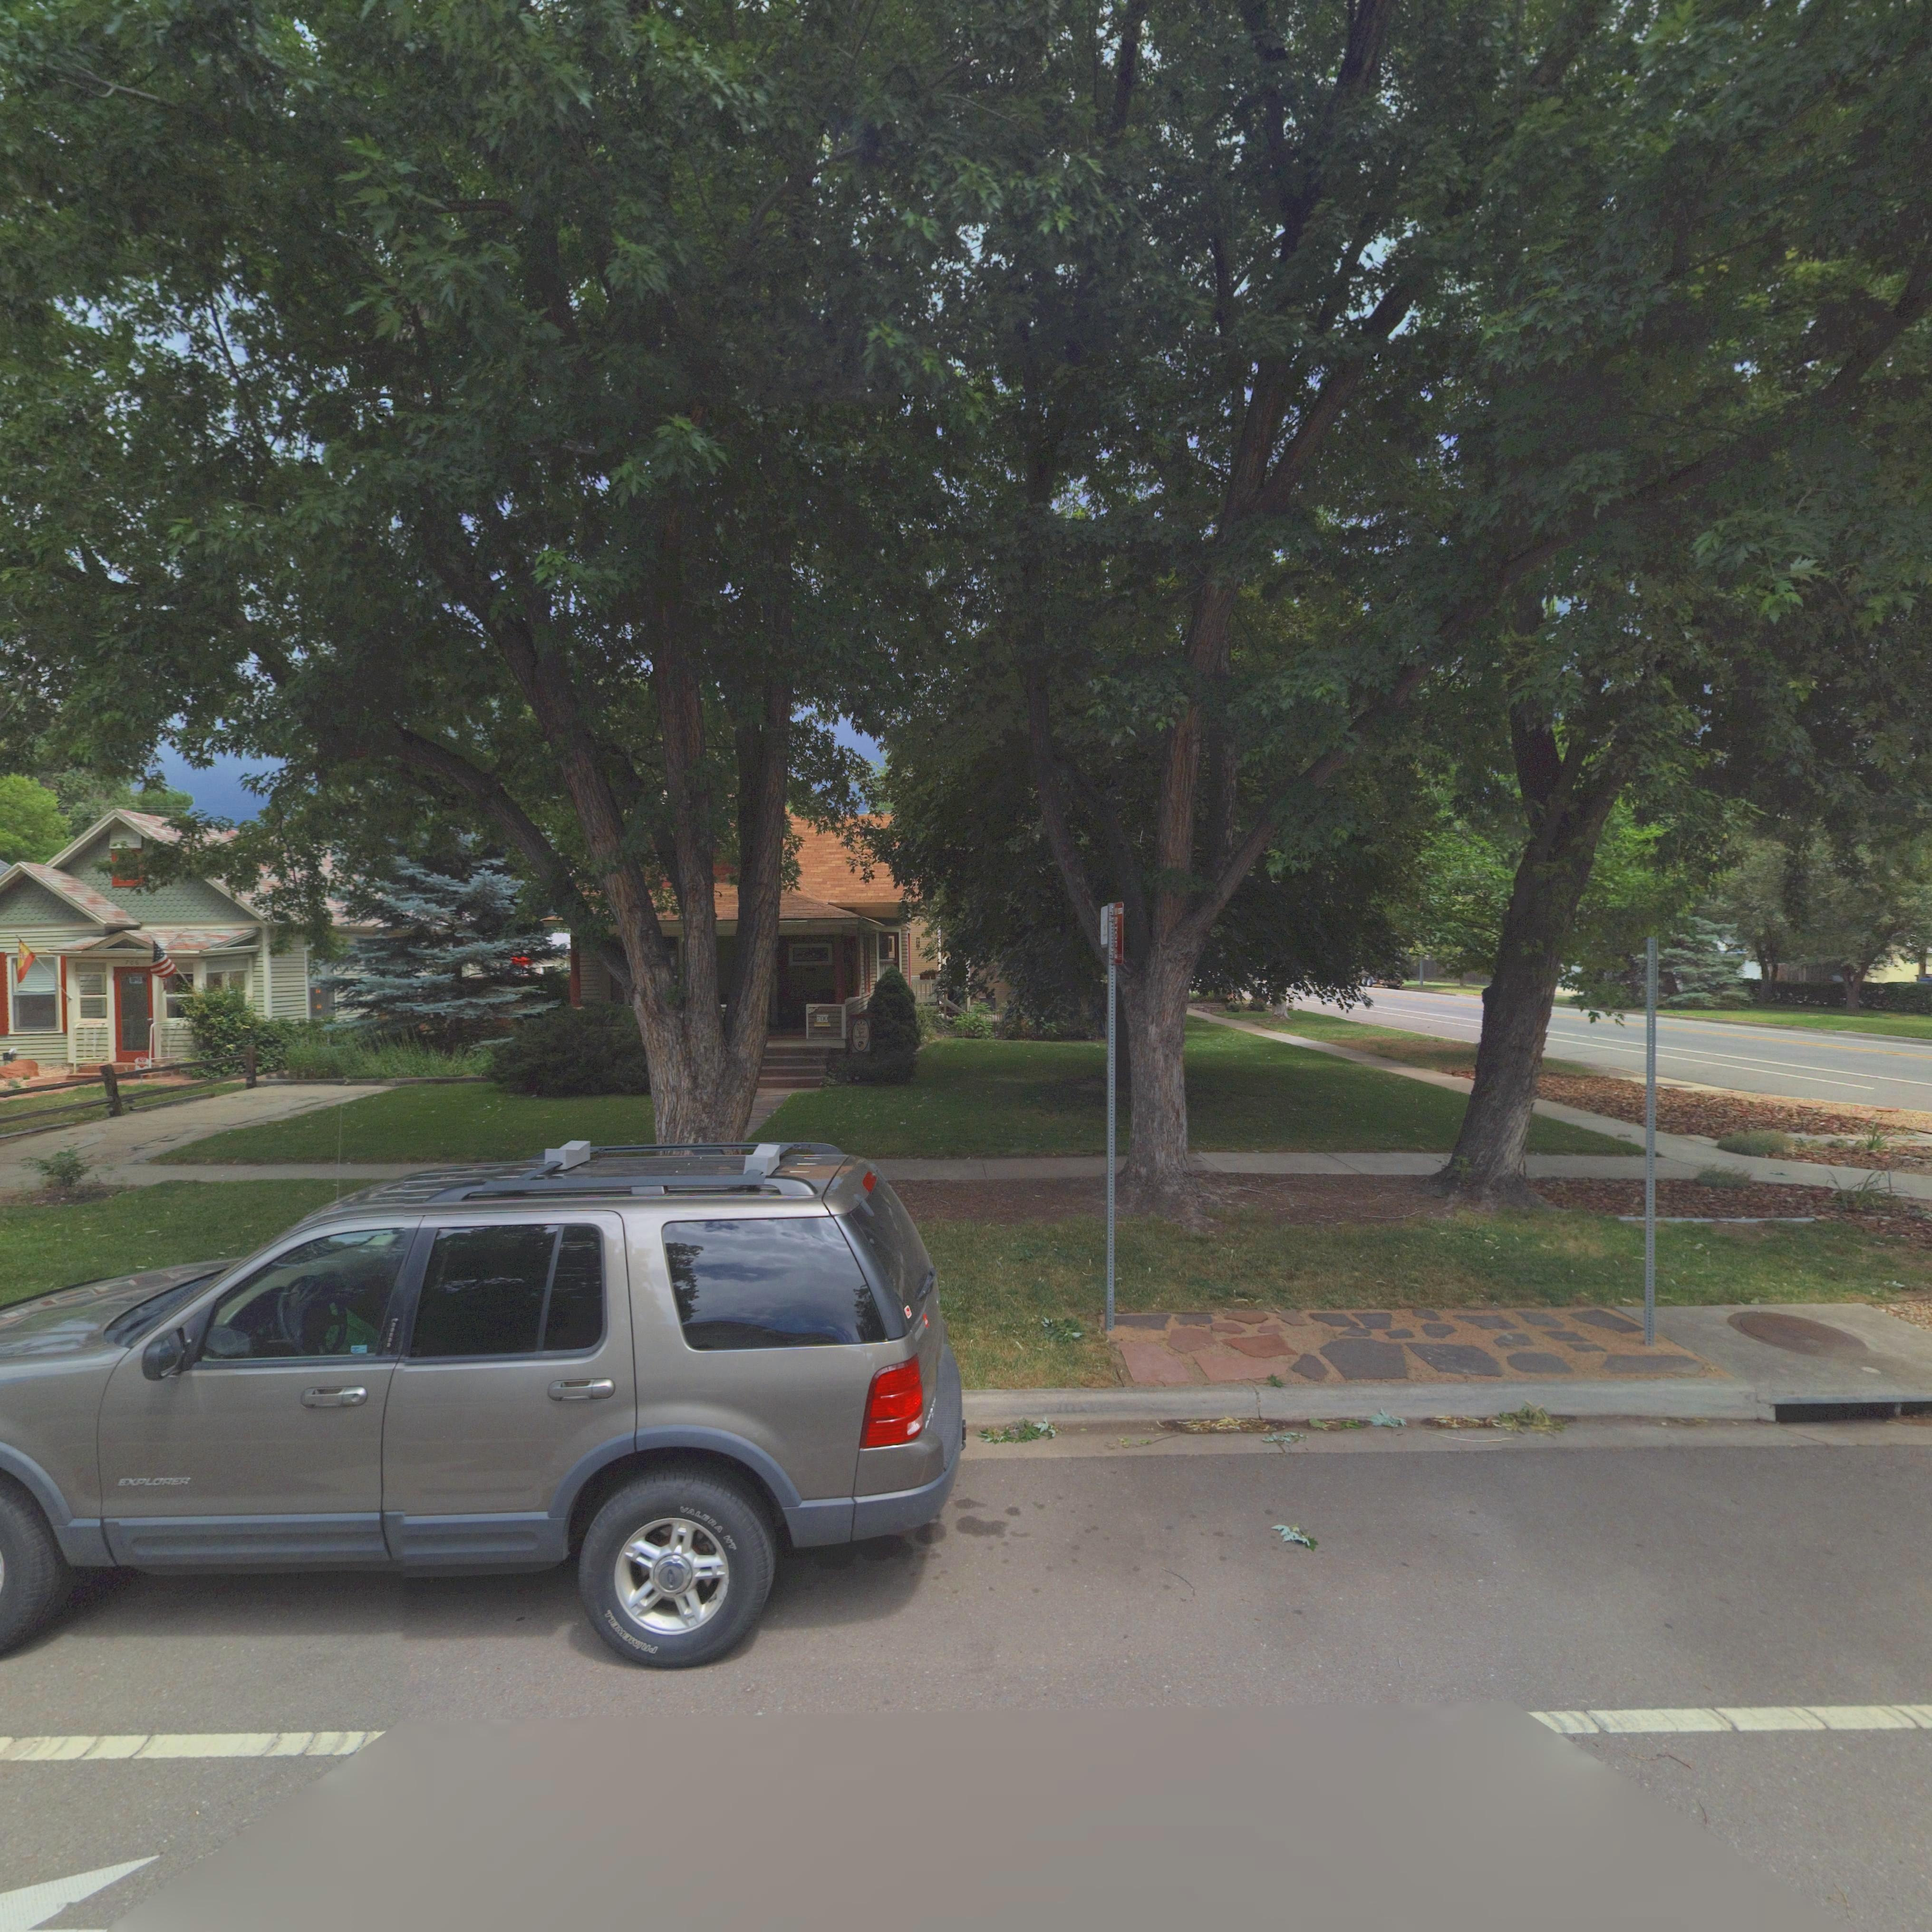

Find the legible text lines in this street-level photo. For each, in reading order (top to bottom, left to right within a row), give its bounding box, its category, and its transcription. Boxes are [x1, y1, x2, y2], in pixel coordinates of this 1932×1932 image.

[125, 959, 139, 965] StreetNumber: 7*6
[816, 1015, 828, 1021] StreetNumber: 700